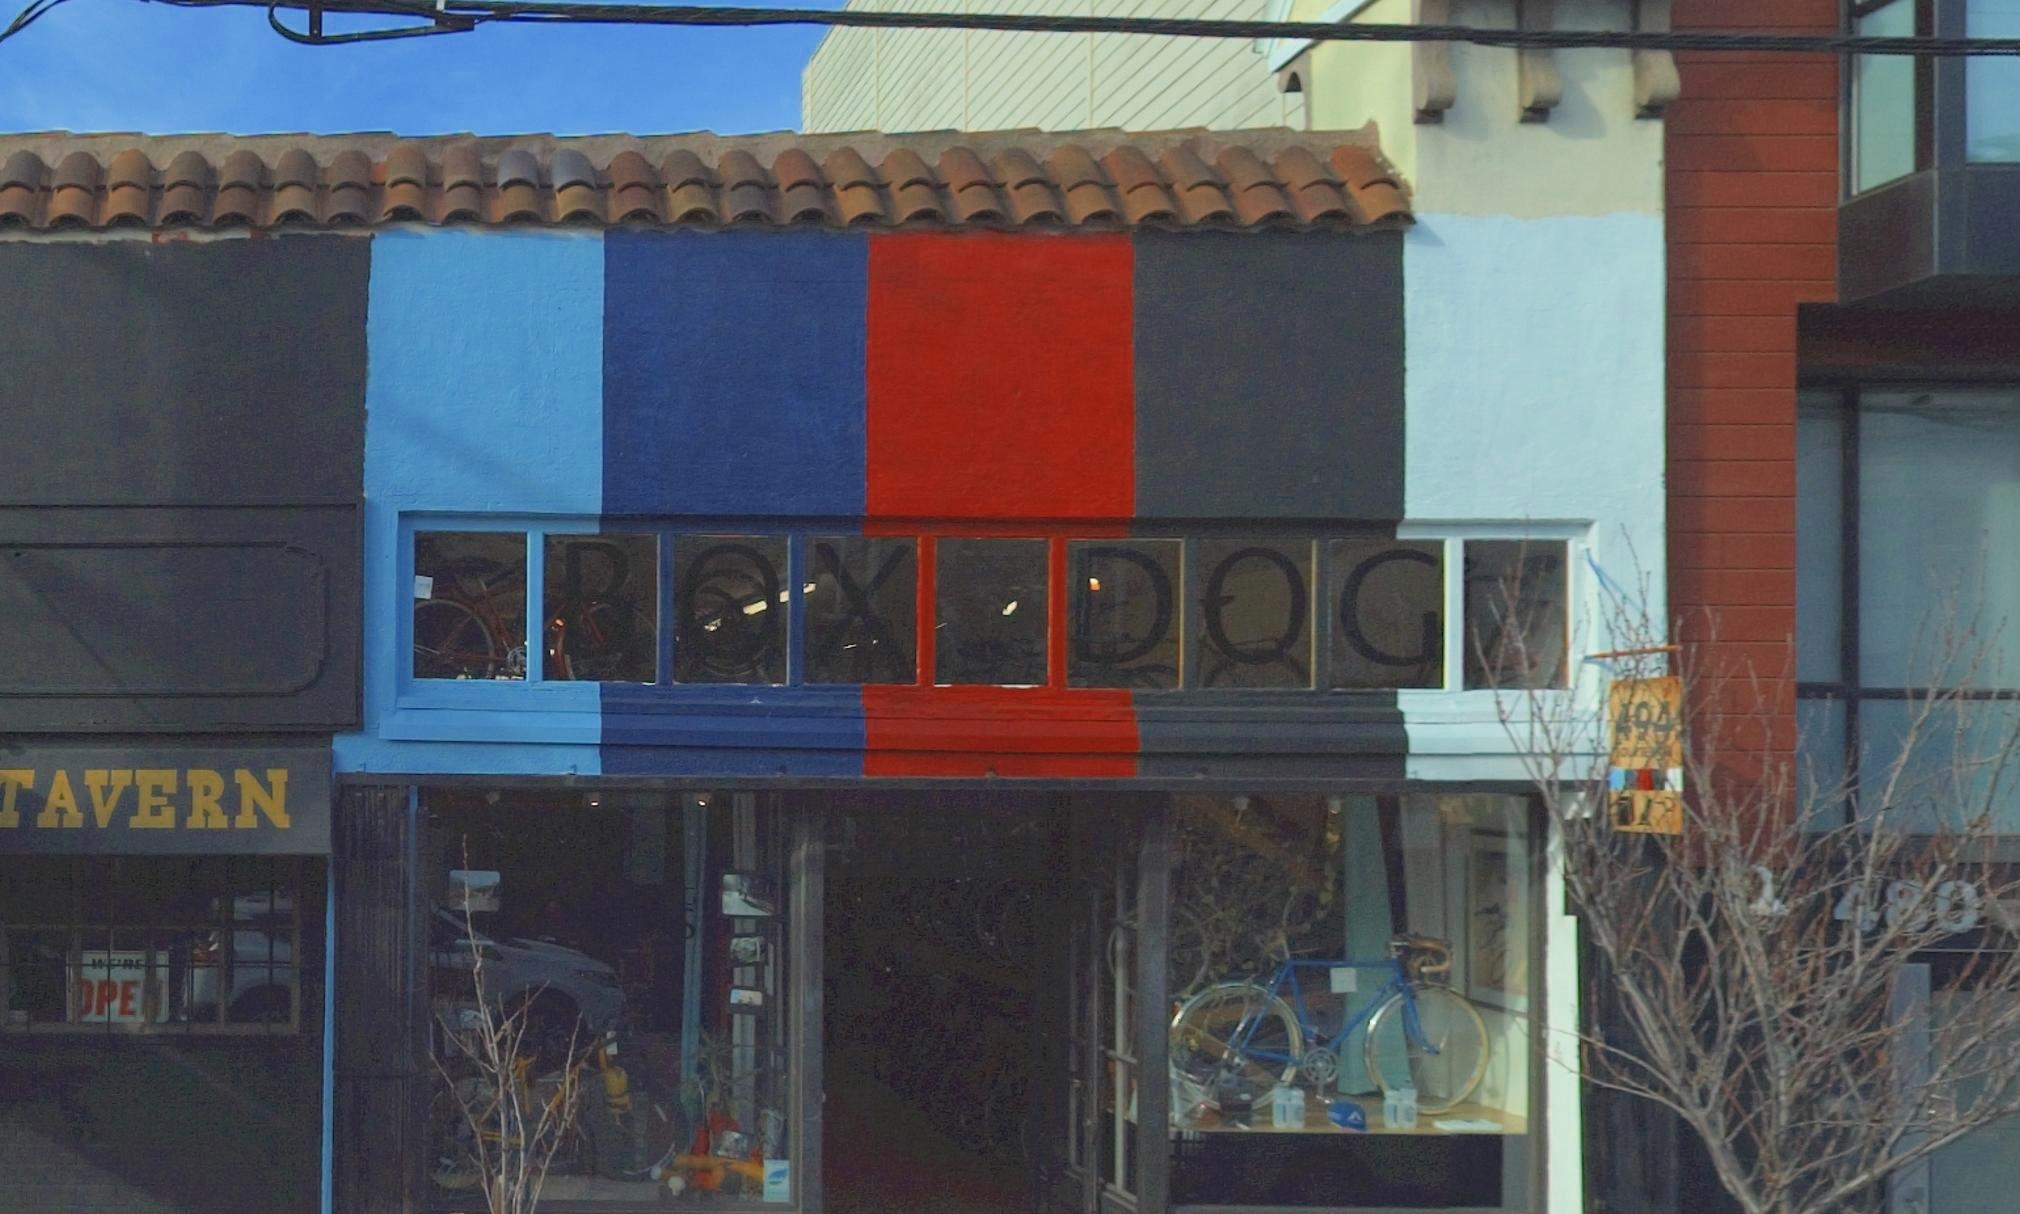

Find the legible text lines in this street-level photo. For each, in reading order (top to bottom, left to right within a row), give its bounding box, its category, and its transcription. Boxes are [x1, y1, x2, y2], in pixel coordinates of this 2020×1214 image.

[551, 533, 1449, 678] BusinessName: BOX DOG
[1610, 695, 1679, 747] StreetNumber: 494
[29, 761, 297, 834] BusinessName: AVERN
[112, 975, 146, 1022] None: E